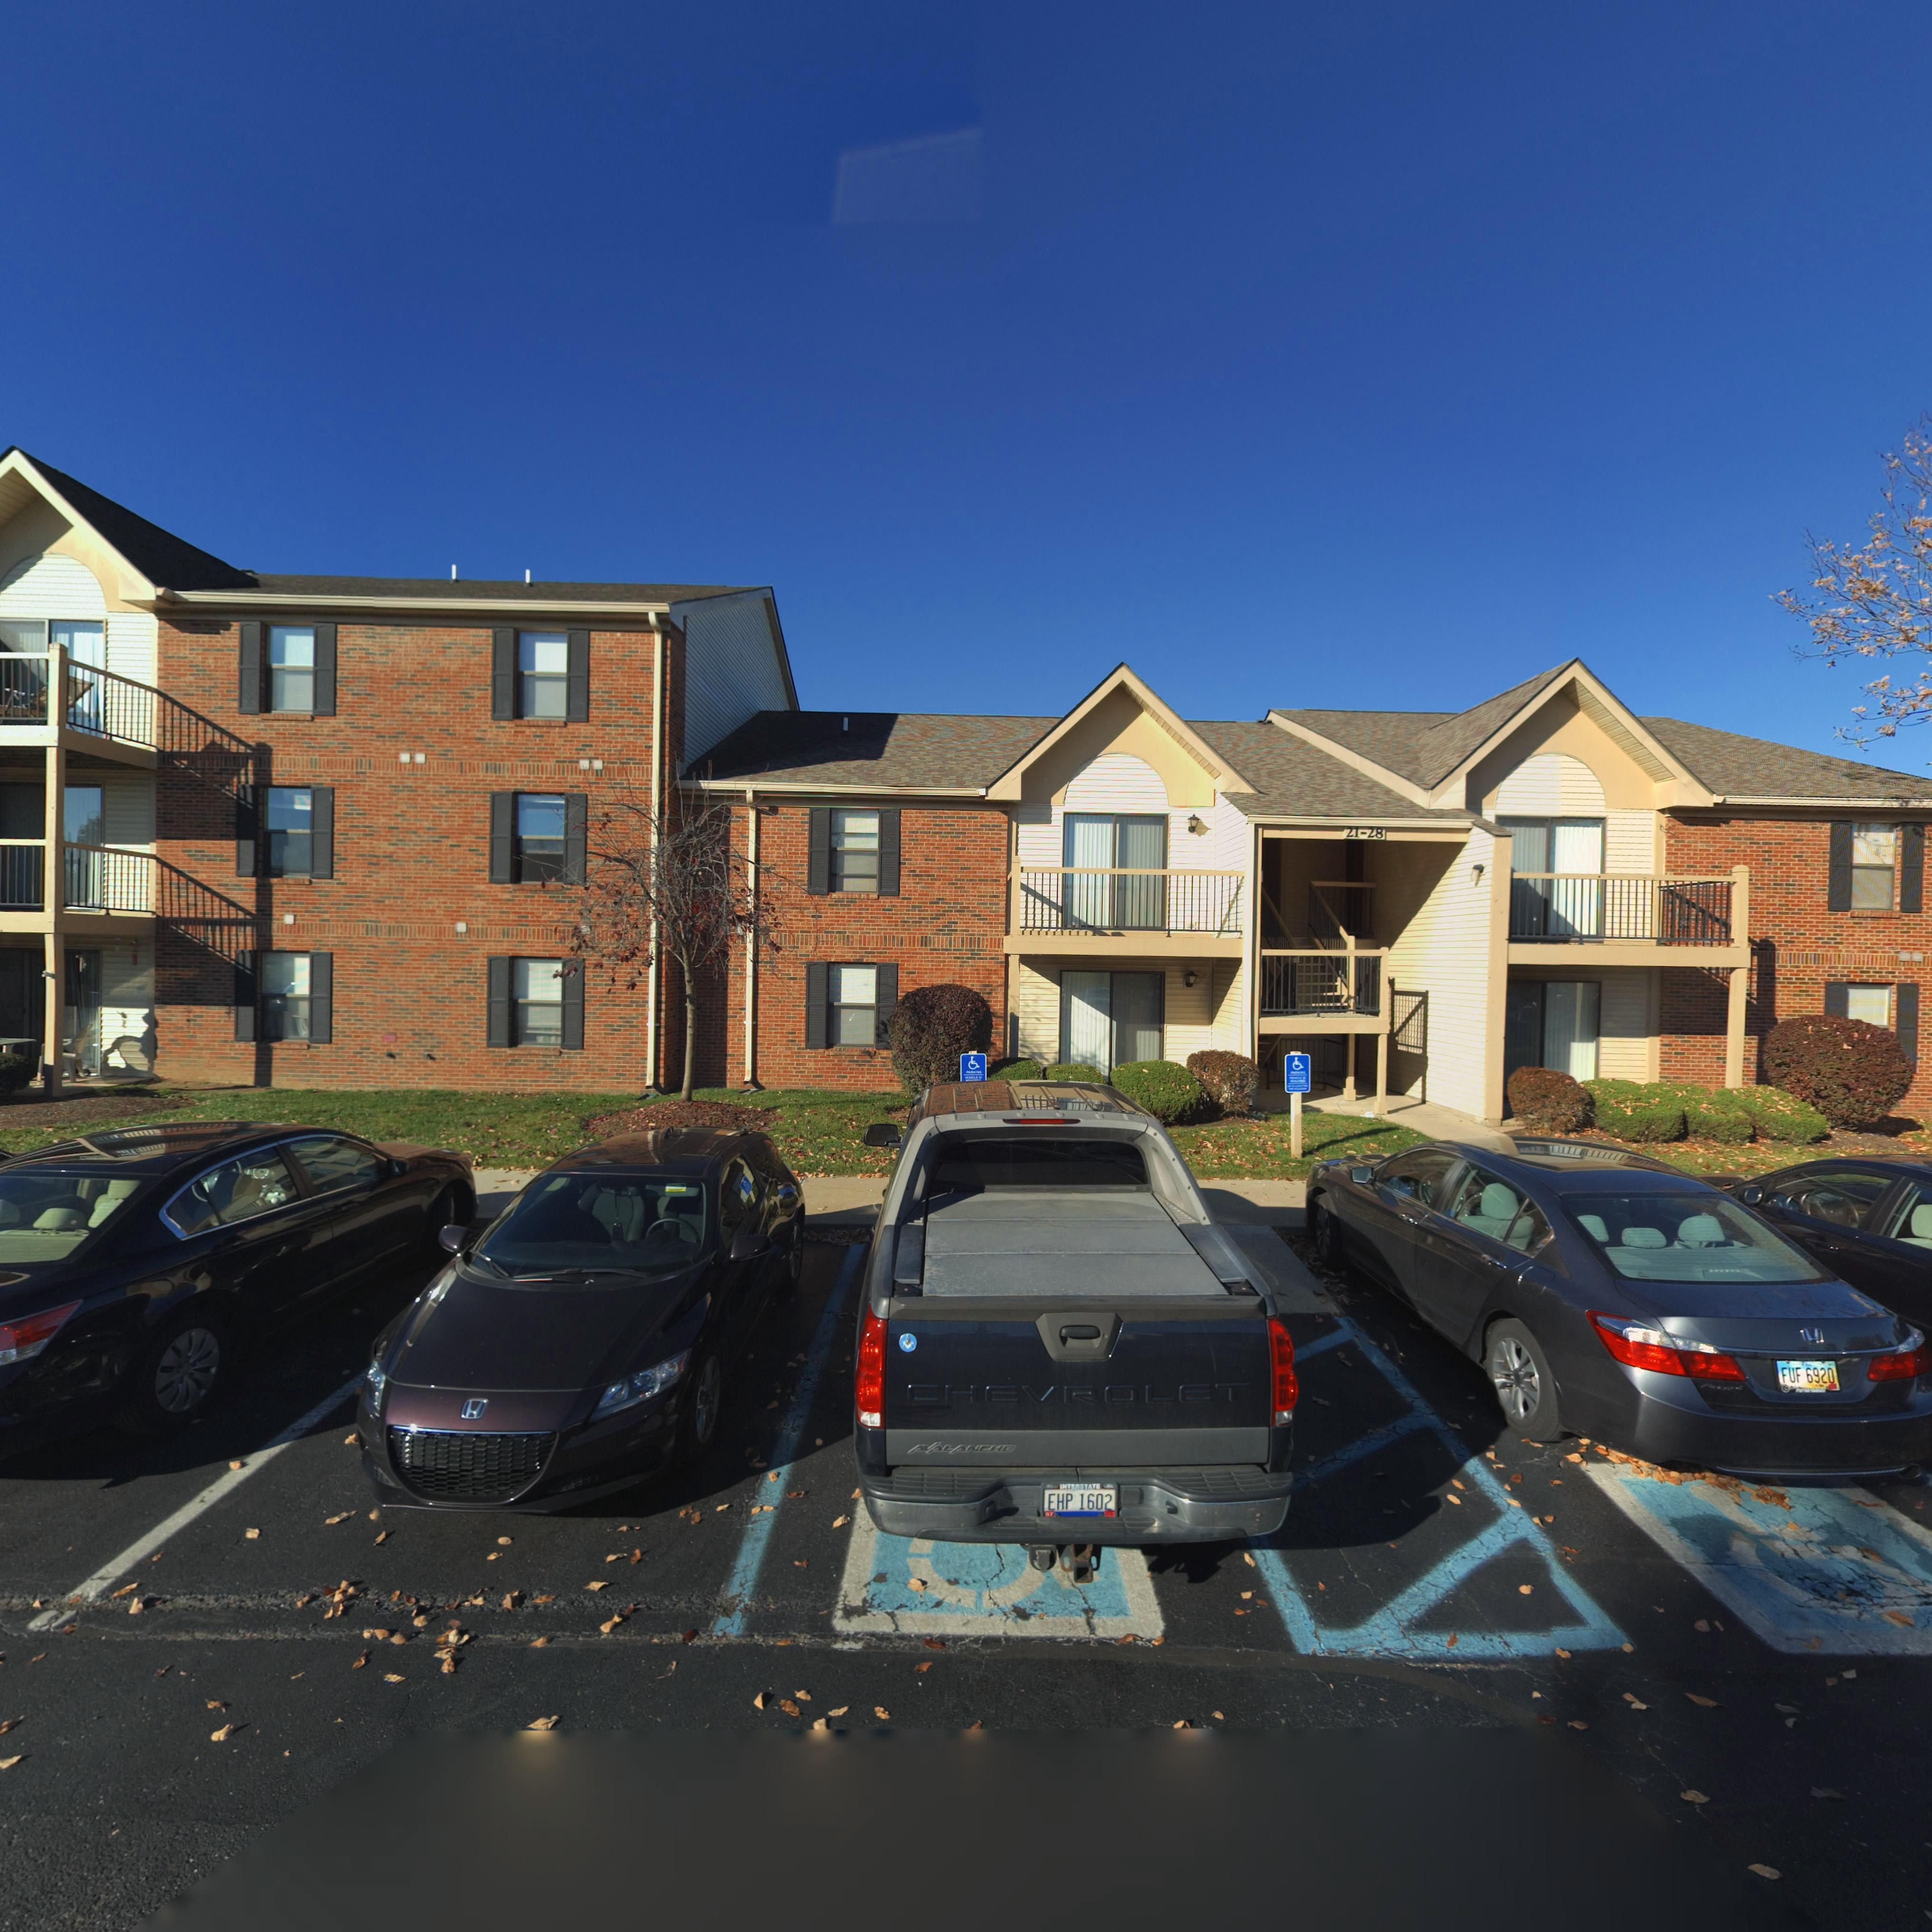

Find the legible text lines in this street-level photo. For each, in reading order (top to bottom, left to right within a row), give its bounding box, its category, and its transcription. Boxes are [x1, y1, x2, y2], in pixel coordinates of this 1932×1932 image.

[1345, 827, 1385, 840] StreetNumber: 21-28